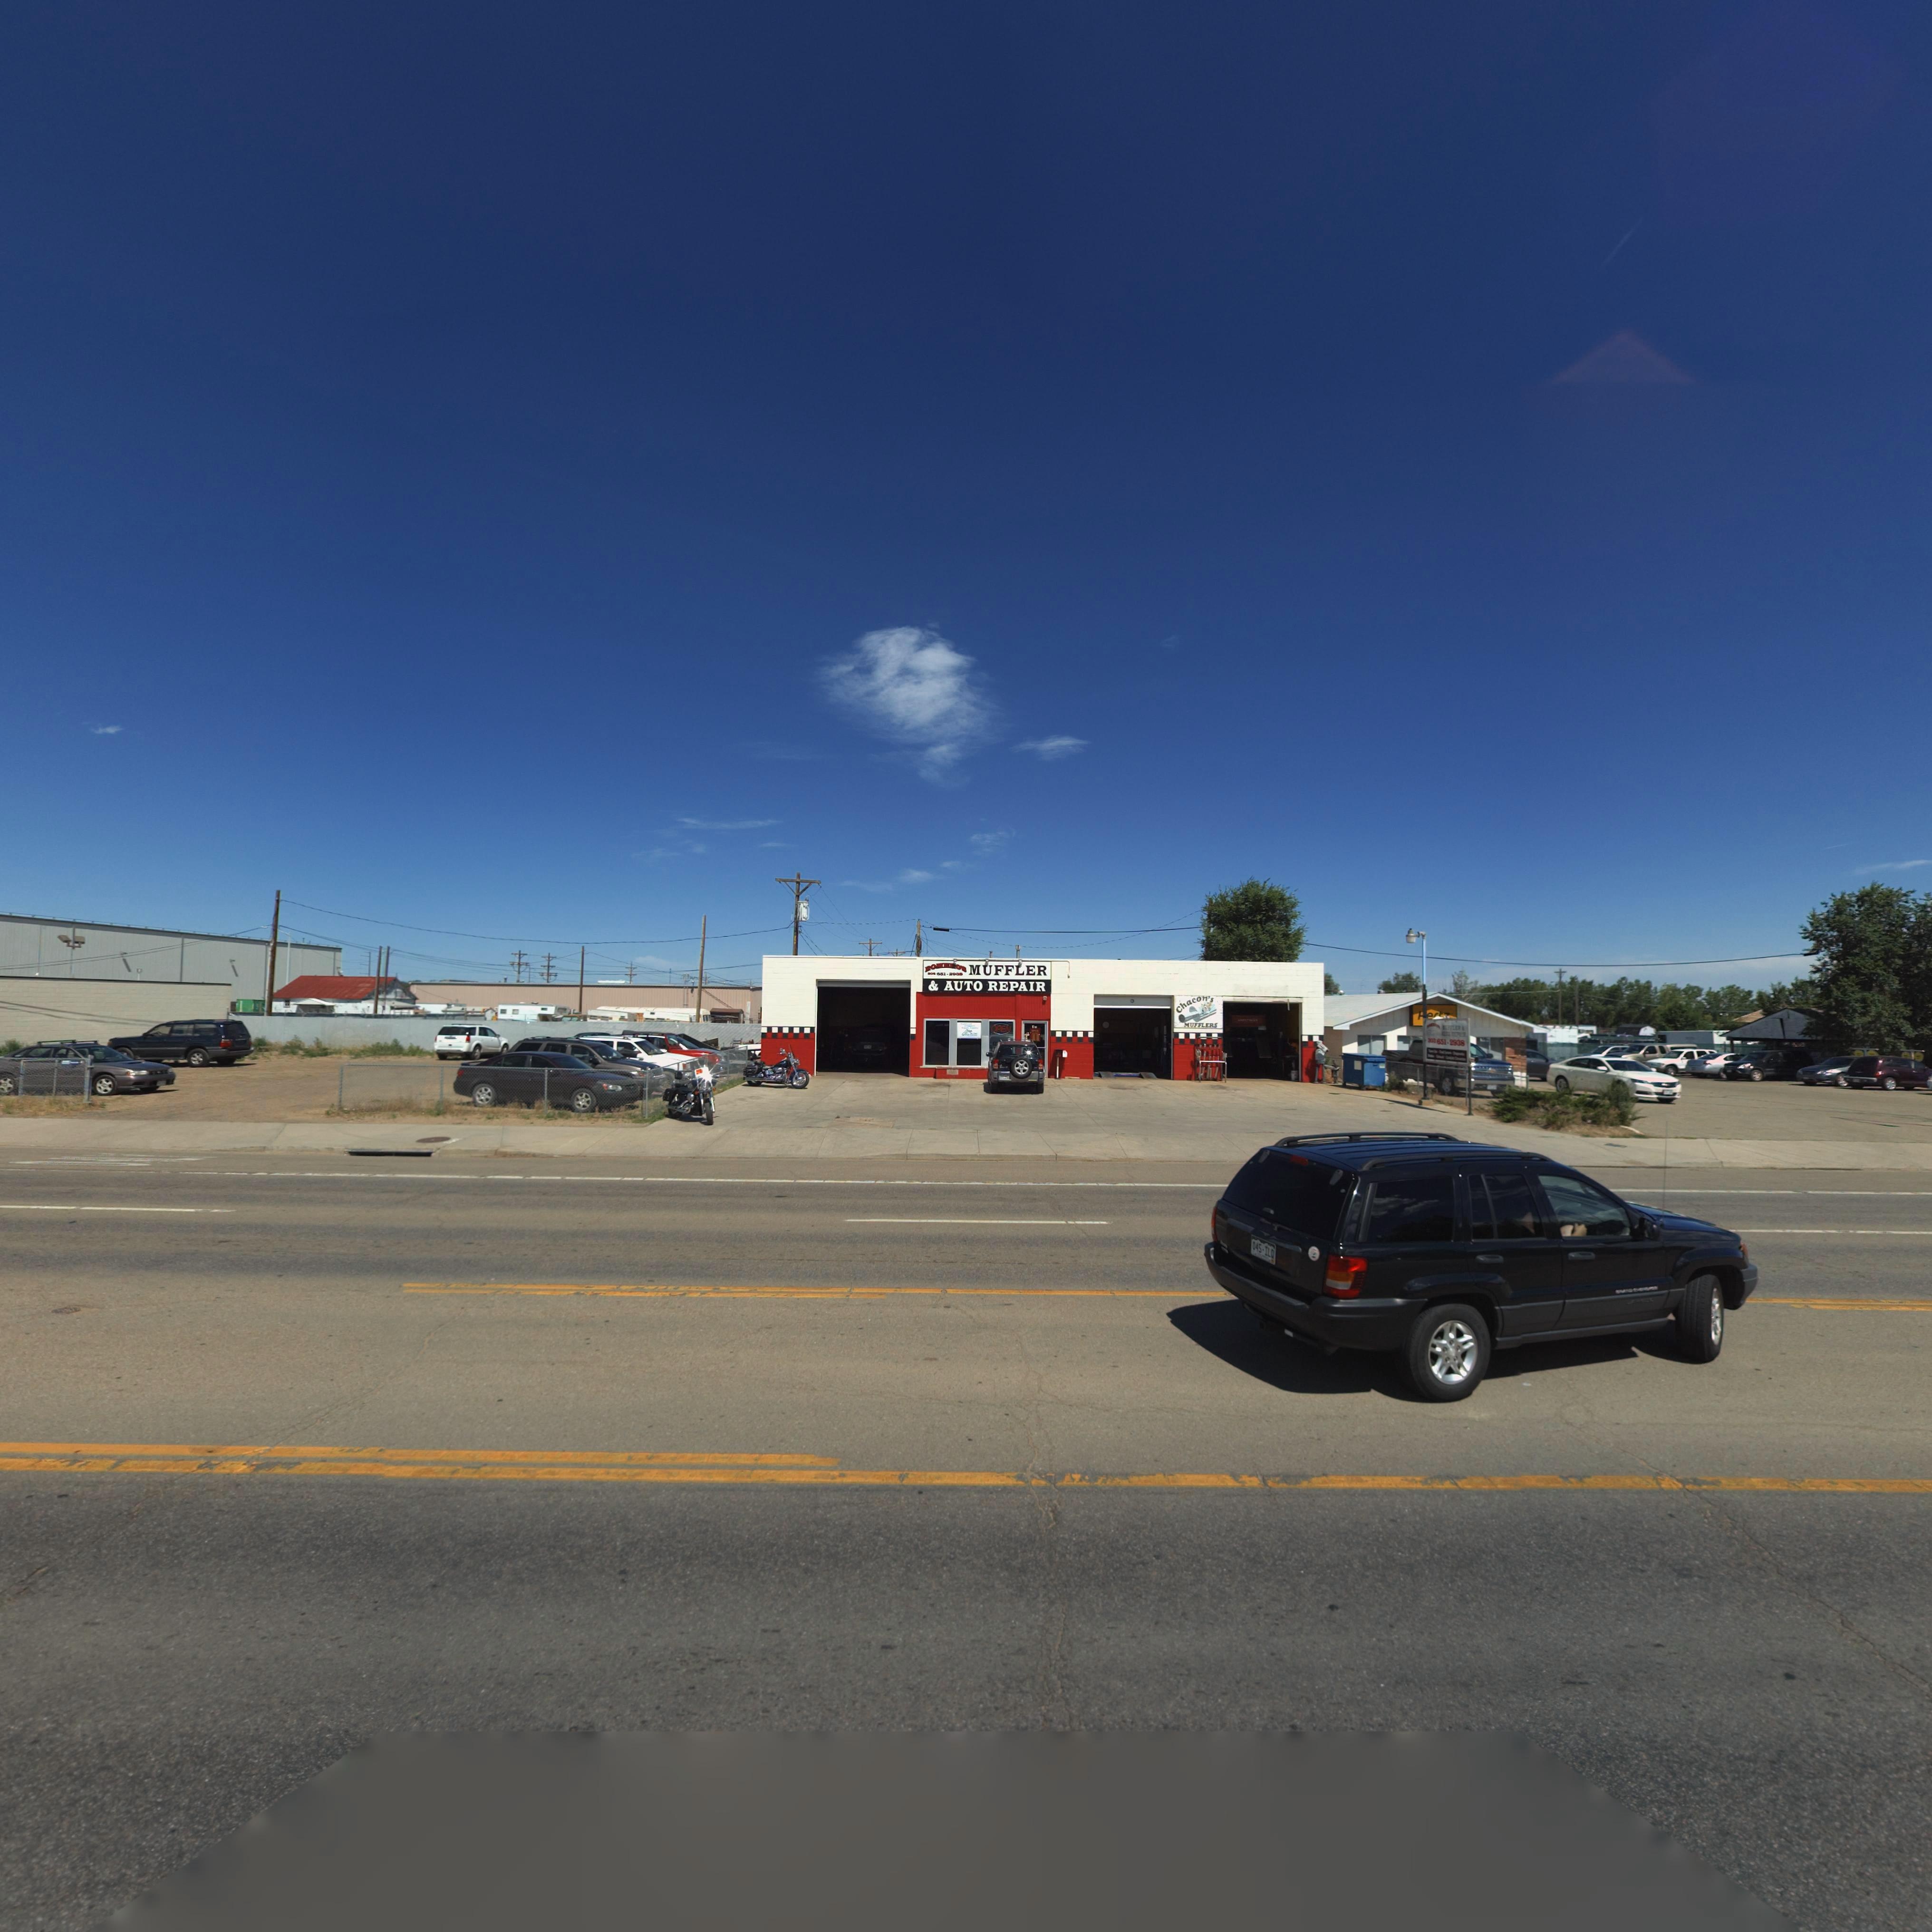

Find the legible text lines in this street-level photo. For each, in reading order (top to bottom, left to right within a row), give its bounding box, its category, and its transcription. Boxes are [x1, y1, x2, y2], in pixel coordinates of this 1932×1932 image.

[924, 962, 967, 973] BusinessName: RO*ERO'S
[967, 964, 1048, 976] BusinessName: MUFFLER
[928, 980, 1046, 992] BusinessName: & AUTO REPAIR
[1175, 995, 1215, 1013] BusinessName: Chacon's
[1184, 1022, 1218, 1028] BusinessName: MUFFLERS
[1441, 1024, 1460, 1031] BusinessName: MUFFLER
[1441, 1031, 1466, 1037] BusinessName: **TO REPAIR